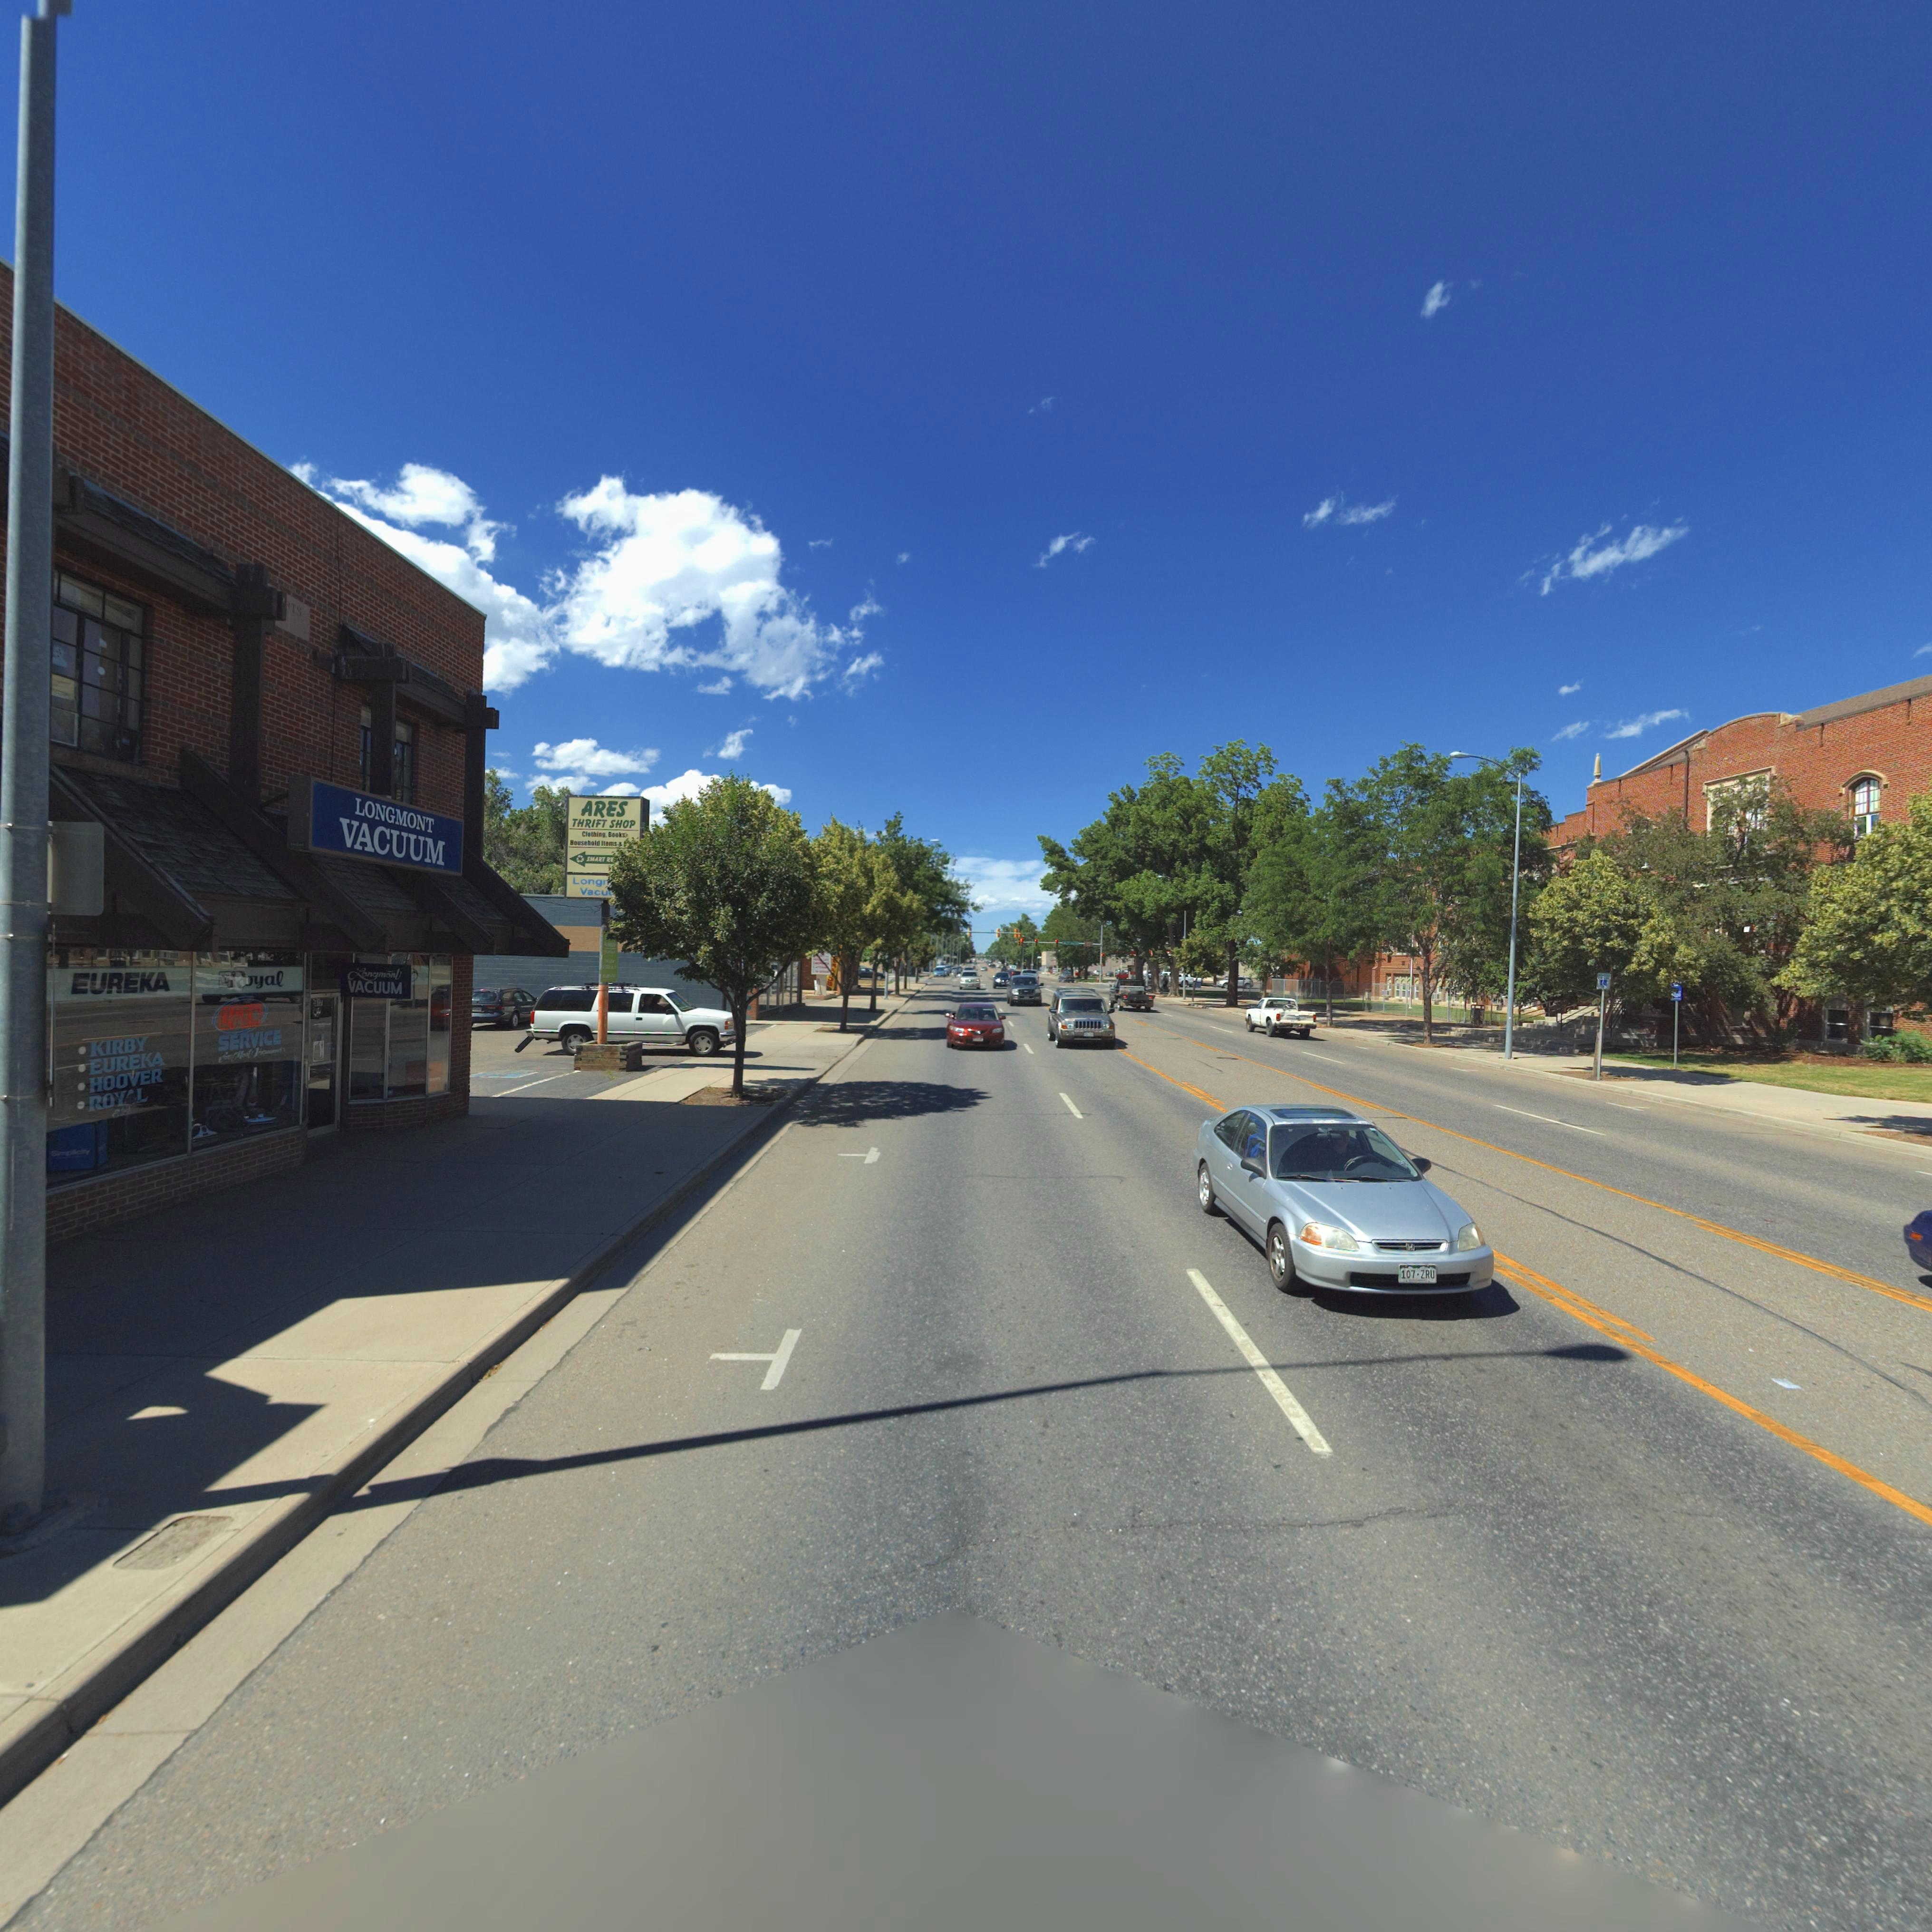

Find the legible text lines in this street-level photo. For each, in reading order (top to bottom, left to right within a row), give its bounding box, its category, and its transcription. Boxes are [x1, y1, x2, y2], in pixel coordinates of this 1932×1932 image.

[355, 797, 434, 833] BusinessName: LONGMONT
[580, 800, 628, 818] BusinessName: ARES
[572, 818, 636, 829] BusinessName: THRIFT SHOP
[339, 816, 445, 866] BusinessName: VACUUM
[586, 856, 614, 862] BusinessName: SMART RE
[572, 877, 613, 887] BusinessName: Long*
[579, 887, 615, 896] BusinessName: Vacu*
[347, 967, 402, 981] BusinessName: Longmont
[347, 980, 402, 995] BusinessName: VACUUM
[313, 998, 323, 1005] StreetNumber: **7